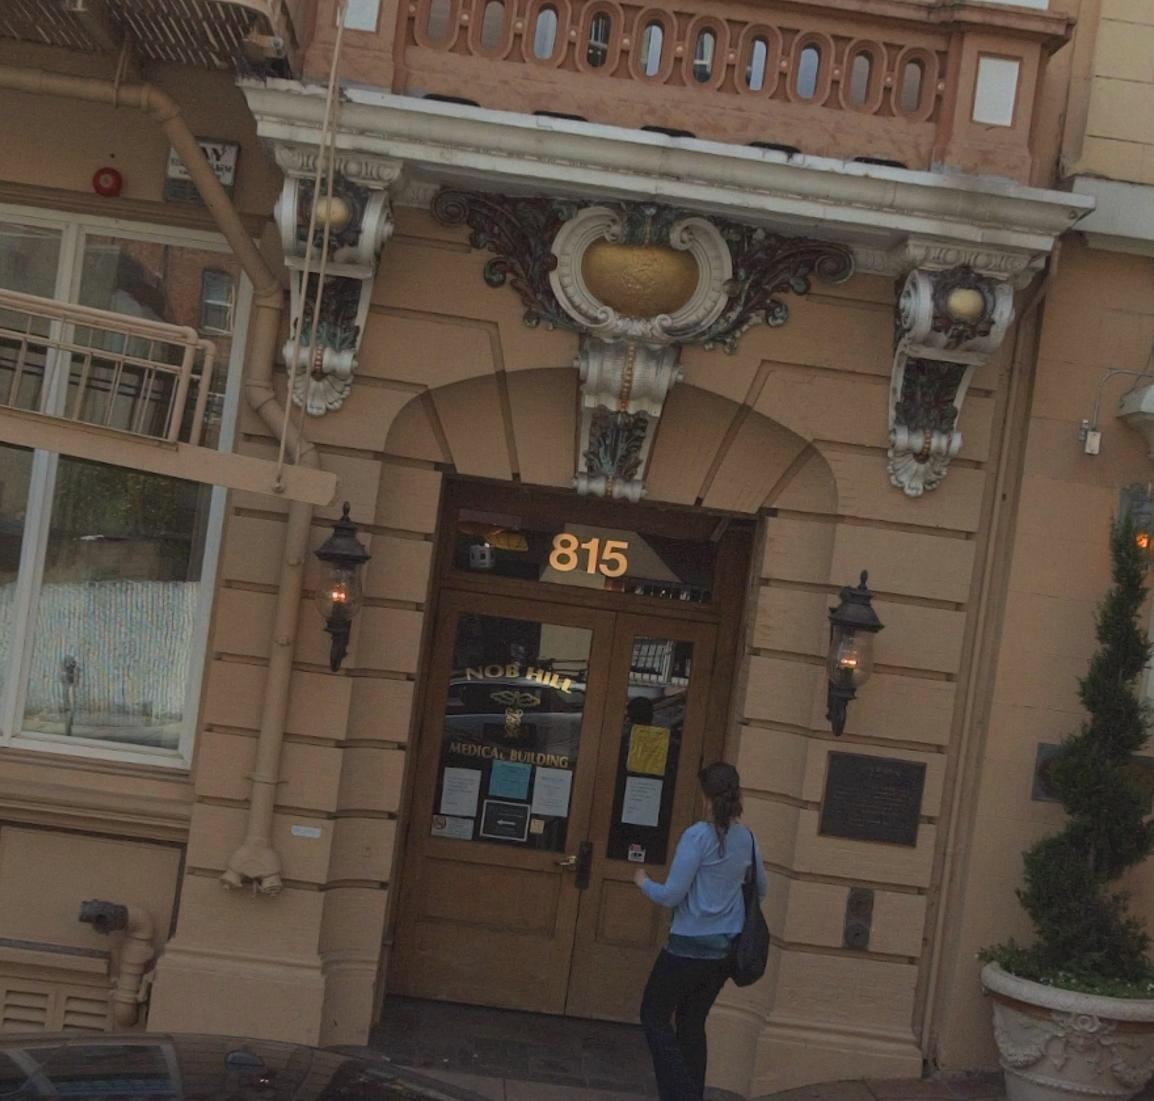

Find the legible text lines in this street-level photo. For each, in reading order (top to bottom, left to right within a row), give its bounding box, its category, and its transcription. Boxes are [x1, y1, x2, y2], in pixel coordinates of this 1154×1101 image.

[546, 527, 634, 581] StreetNumber: 815
[464, 661, 577, 696] BusinessName: NOB HILL
[446, 739, 570, 770] BusinessName: MEDICA* BUILDING